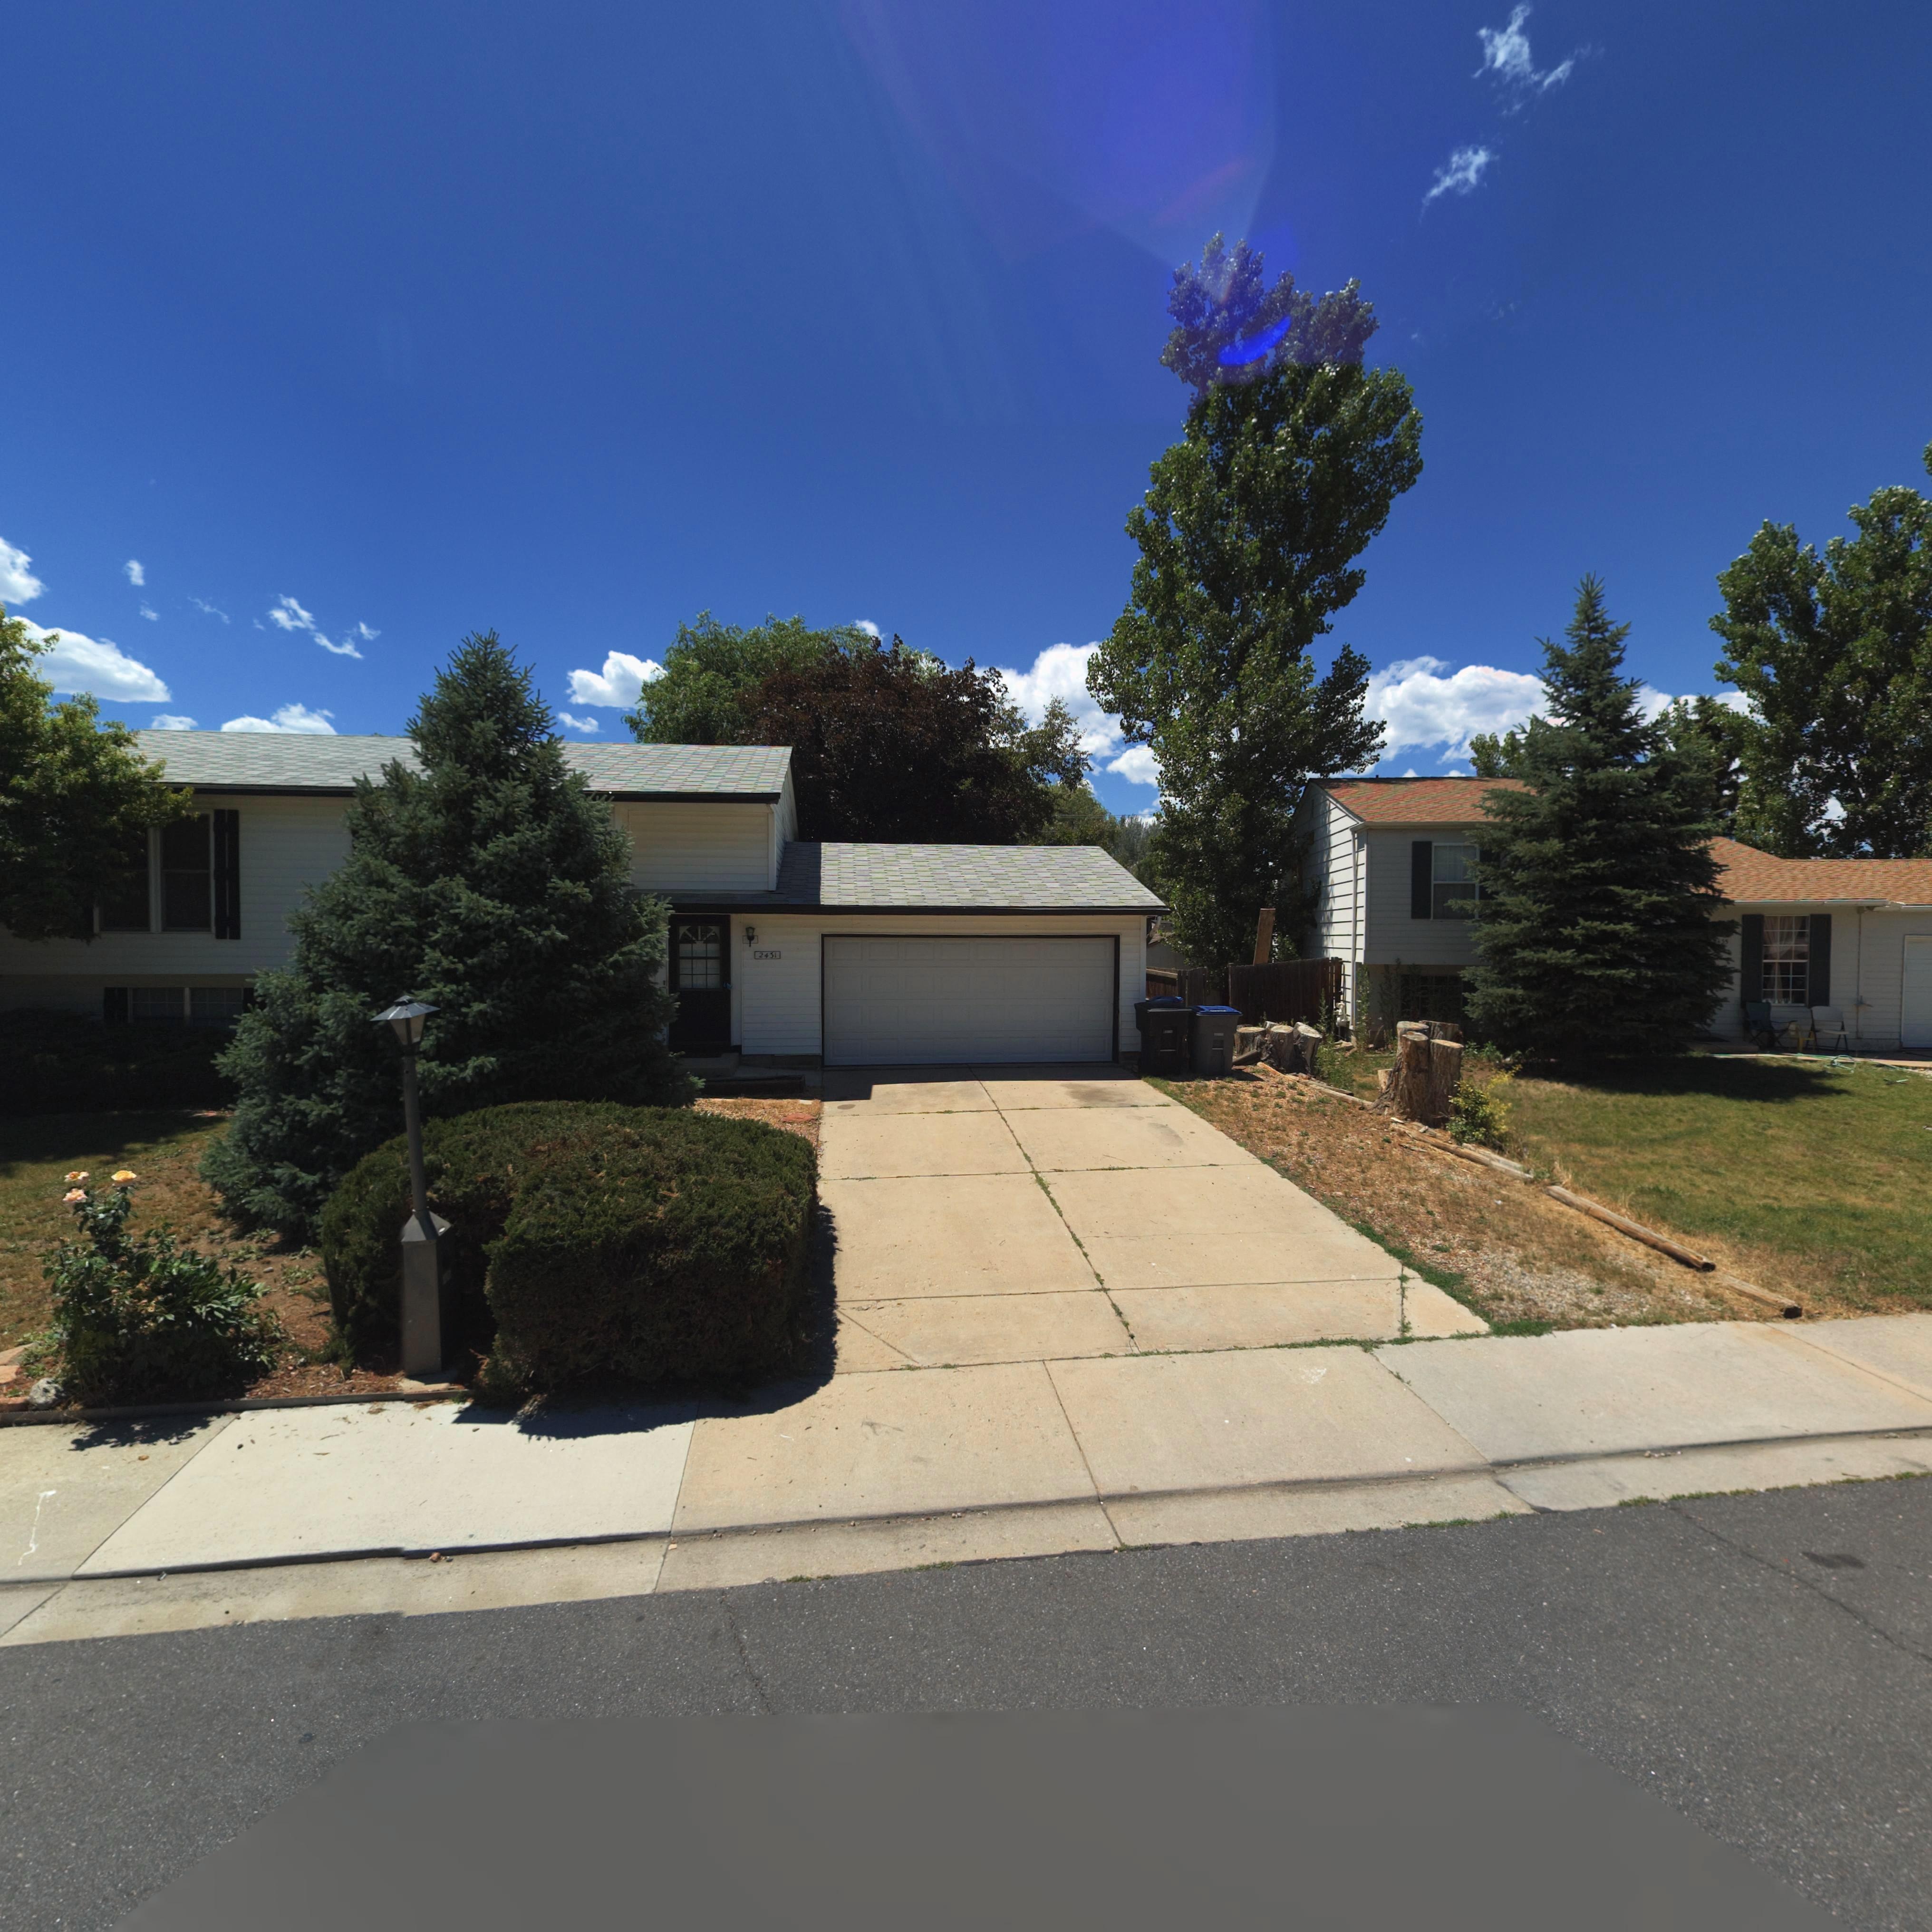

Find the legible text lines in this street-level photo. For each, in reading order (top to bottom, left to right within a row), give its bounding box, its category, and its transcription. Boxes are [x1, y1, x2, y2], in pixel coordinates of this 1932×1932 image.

[759, 952, 777, 958] StreetNumber: 2431